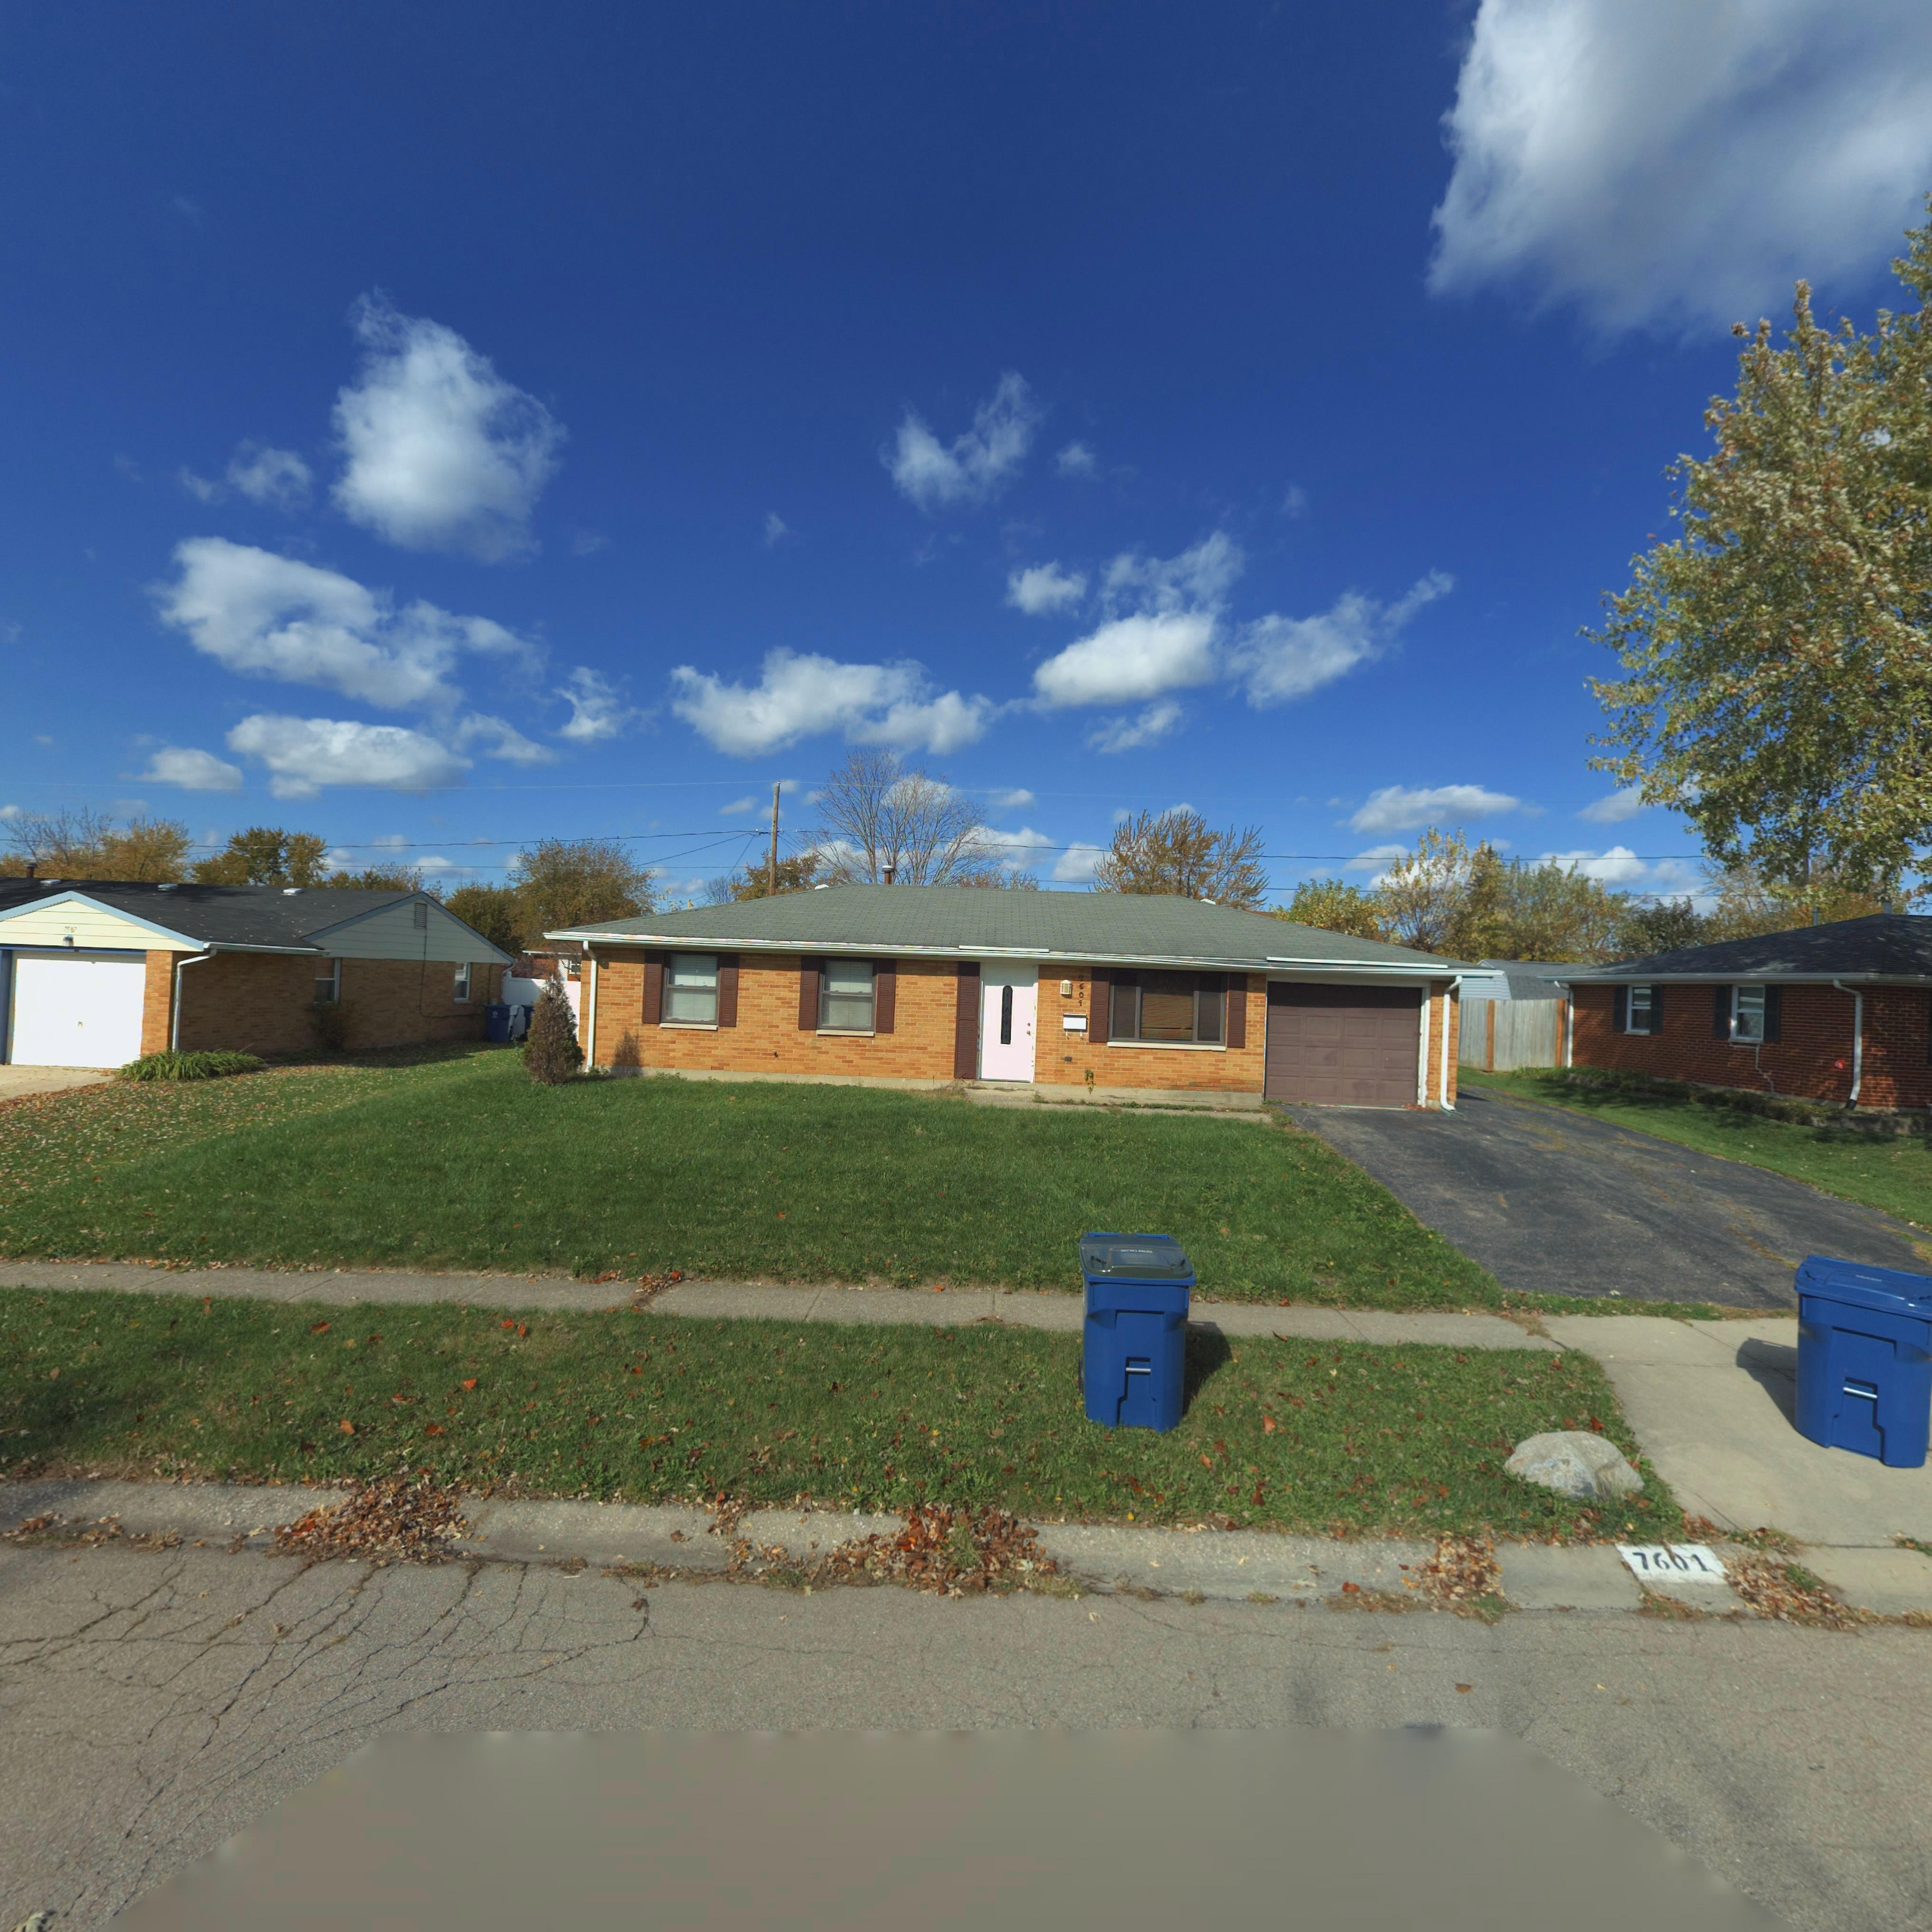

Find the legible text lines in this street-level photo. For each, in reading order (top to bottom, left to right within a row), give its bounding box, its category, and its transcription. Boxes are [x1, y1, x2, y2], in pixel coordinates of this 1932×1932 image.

[62, 926, 78, 934] StreetNumber: 7587
[1078, 975, 1084, 1007] StreetNumber: 7601
[1630, 1551, 1714, 1573] StreetNumber: 7601